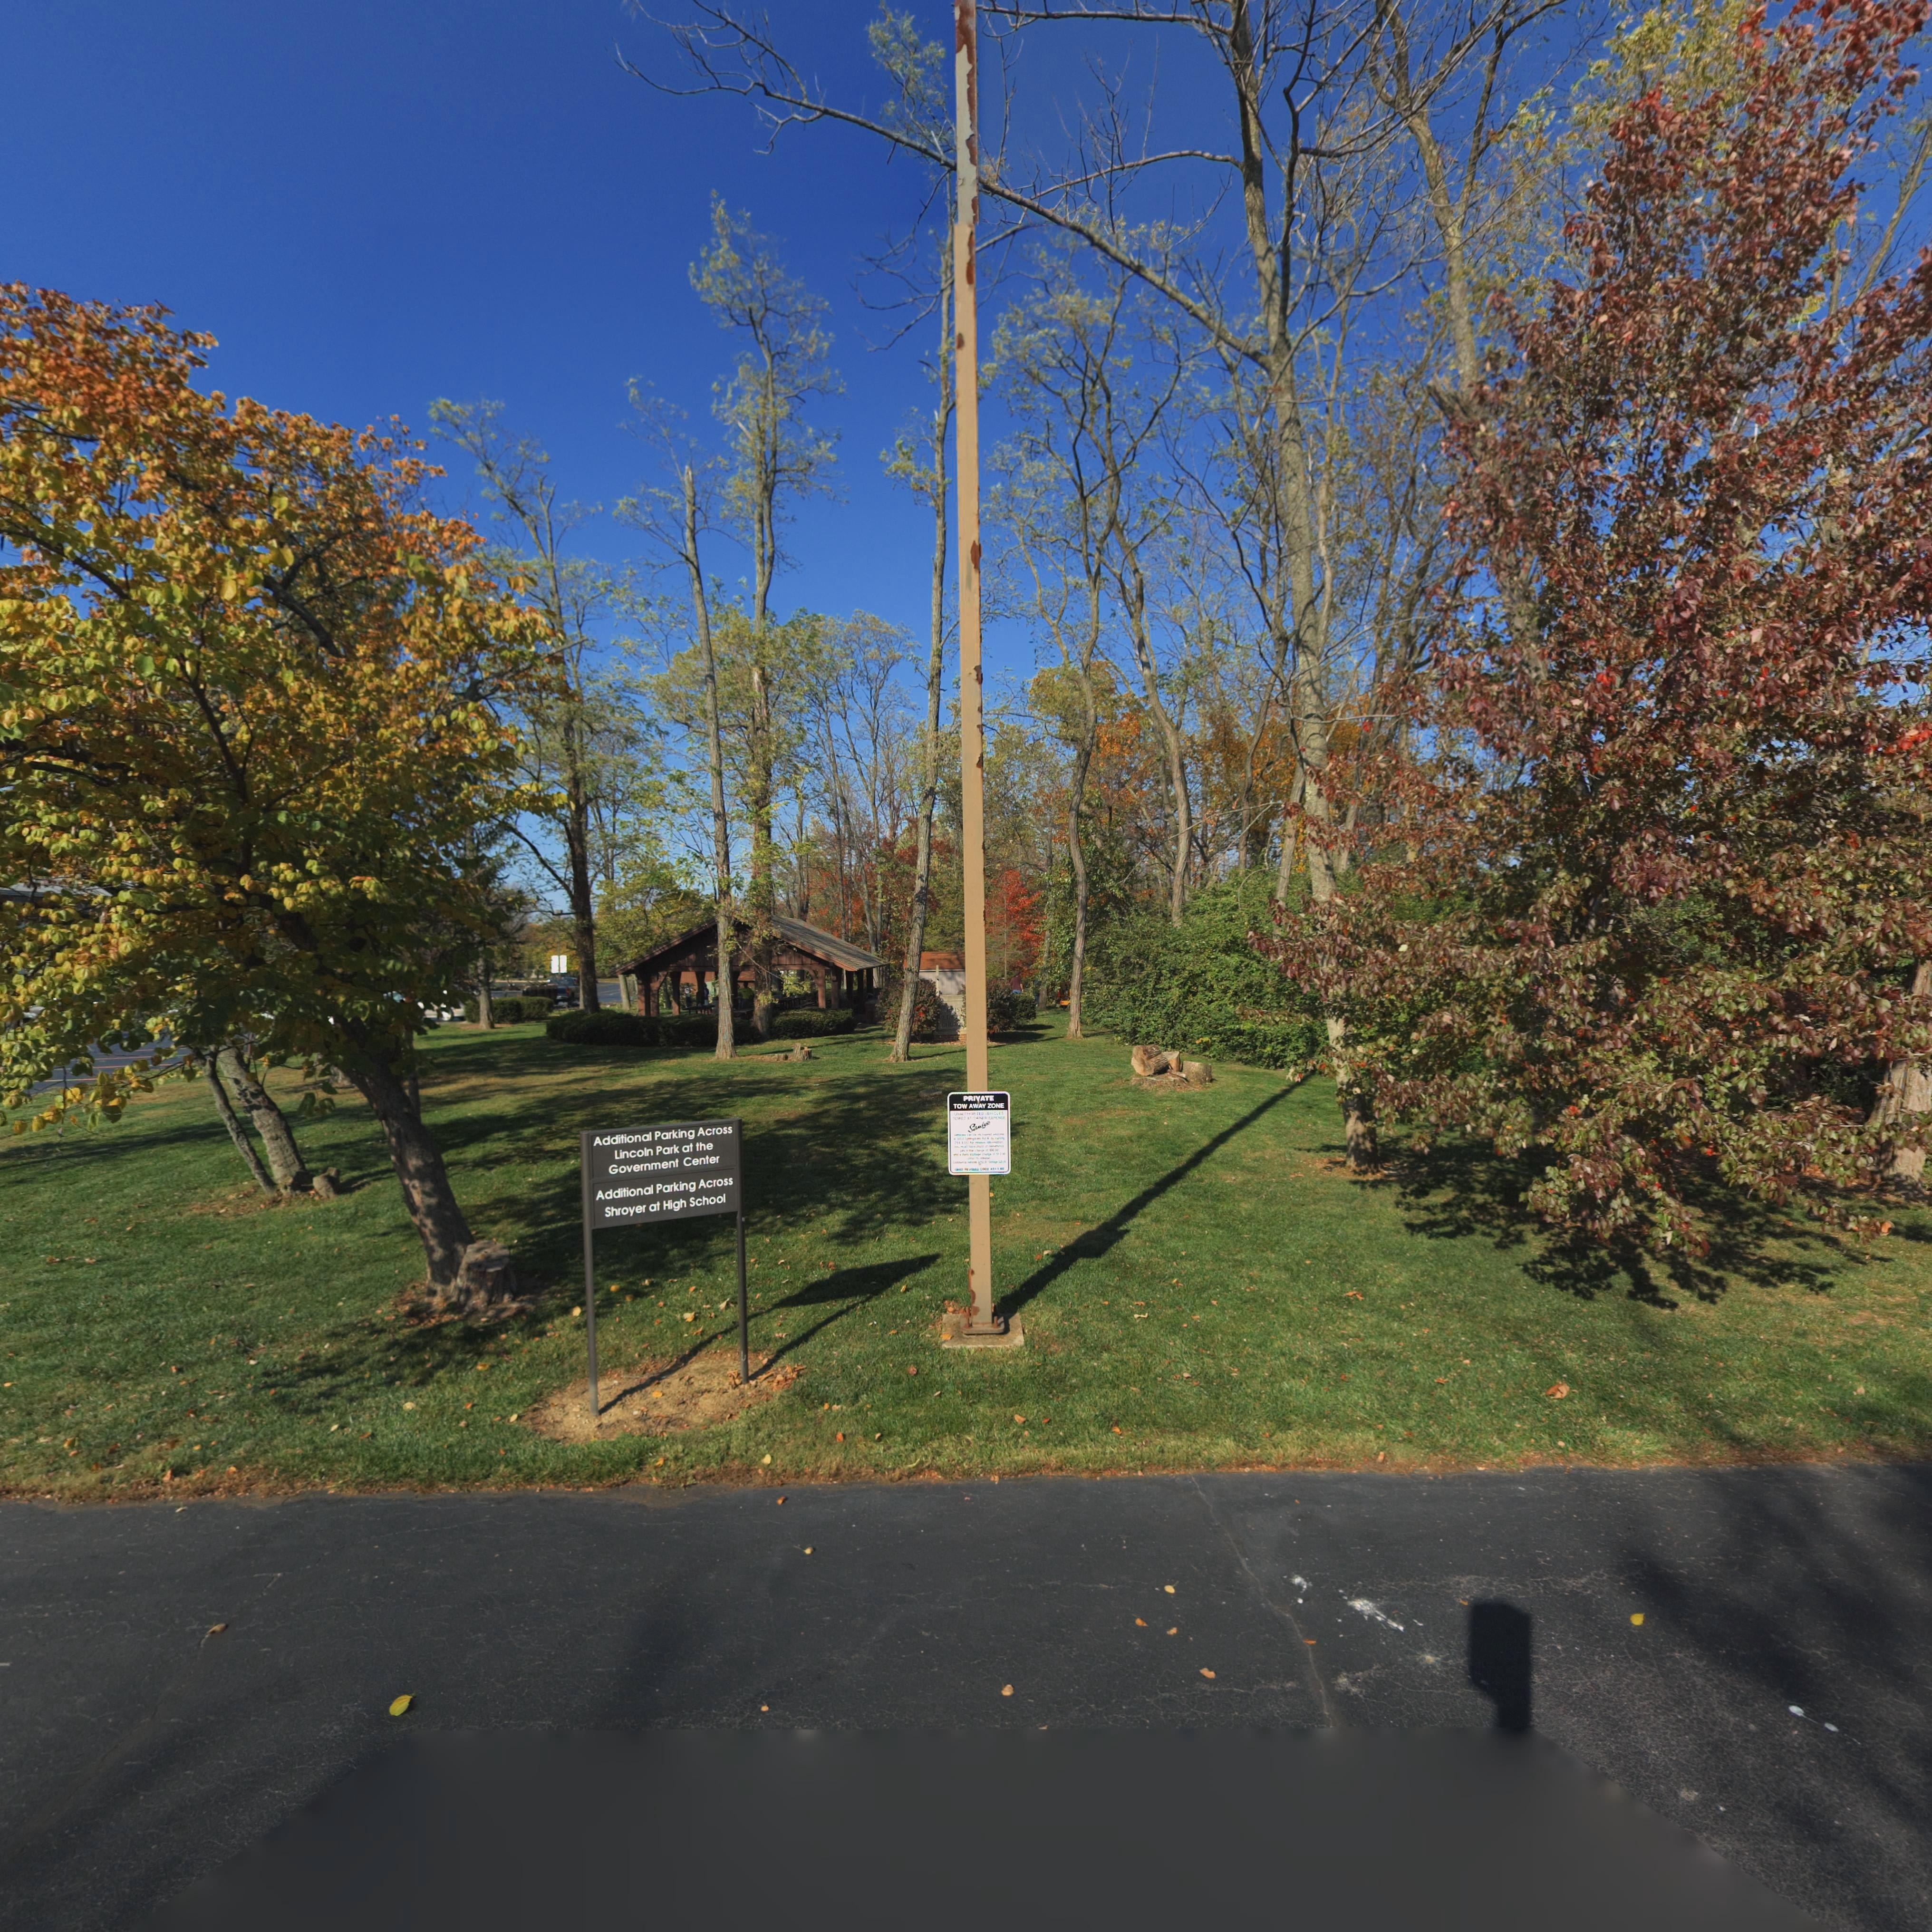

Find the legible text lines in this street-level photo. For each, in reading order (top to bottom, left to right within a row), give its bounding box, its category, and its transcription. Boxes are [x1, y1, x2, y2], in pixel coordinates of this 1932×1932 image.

[962, 1094, 995, 1102] None: PRIVATE
[951, 1102, 1005, 1110] None: TOW AWAY ZONE
[591, 1124, 735, 1149] None: Additional Parking Across
[613, 1140, 715, 1161] None: Lincoln Park at the
[607, 1153, 722, 1177] None: Government Center
[593, 1176, 735, 1203] None: Additional Parking Across
[603, 1191, 728, 1219] None: Shroyer at High School